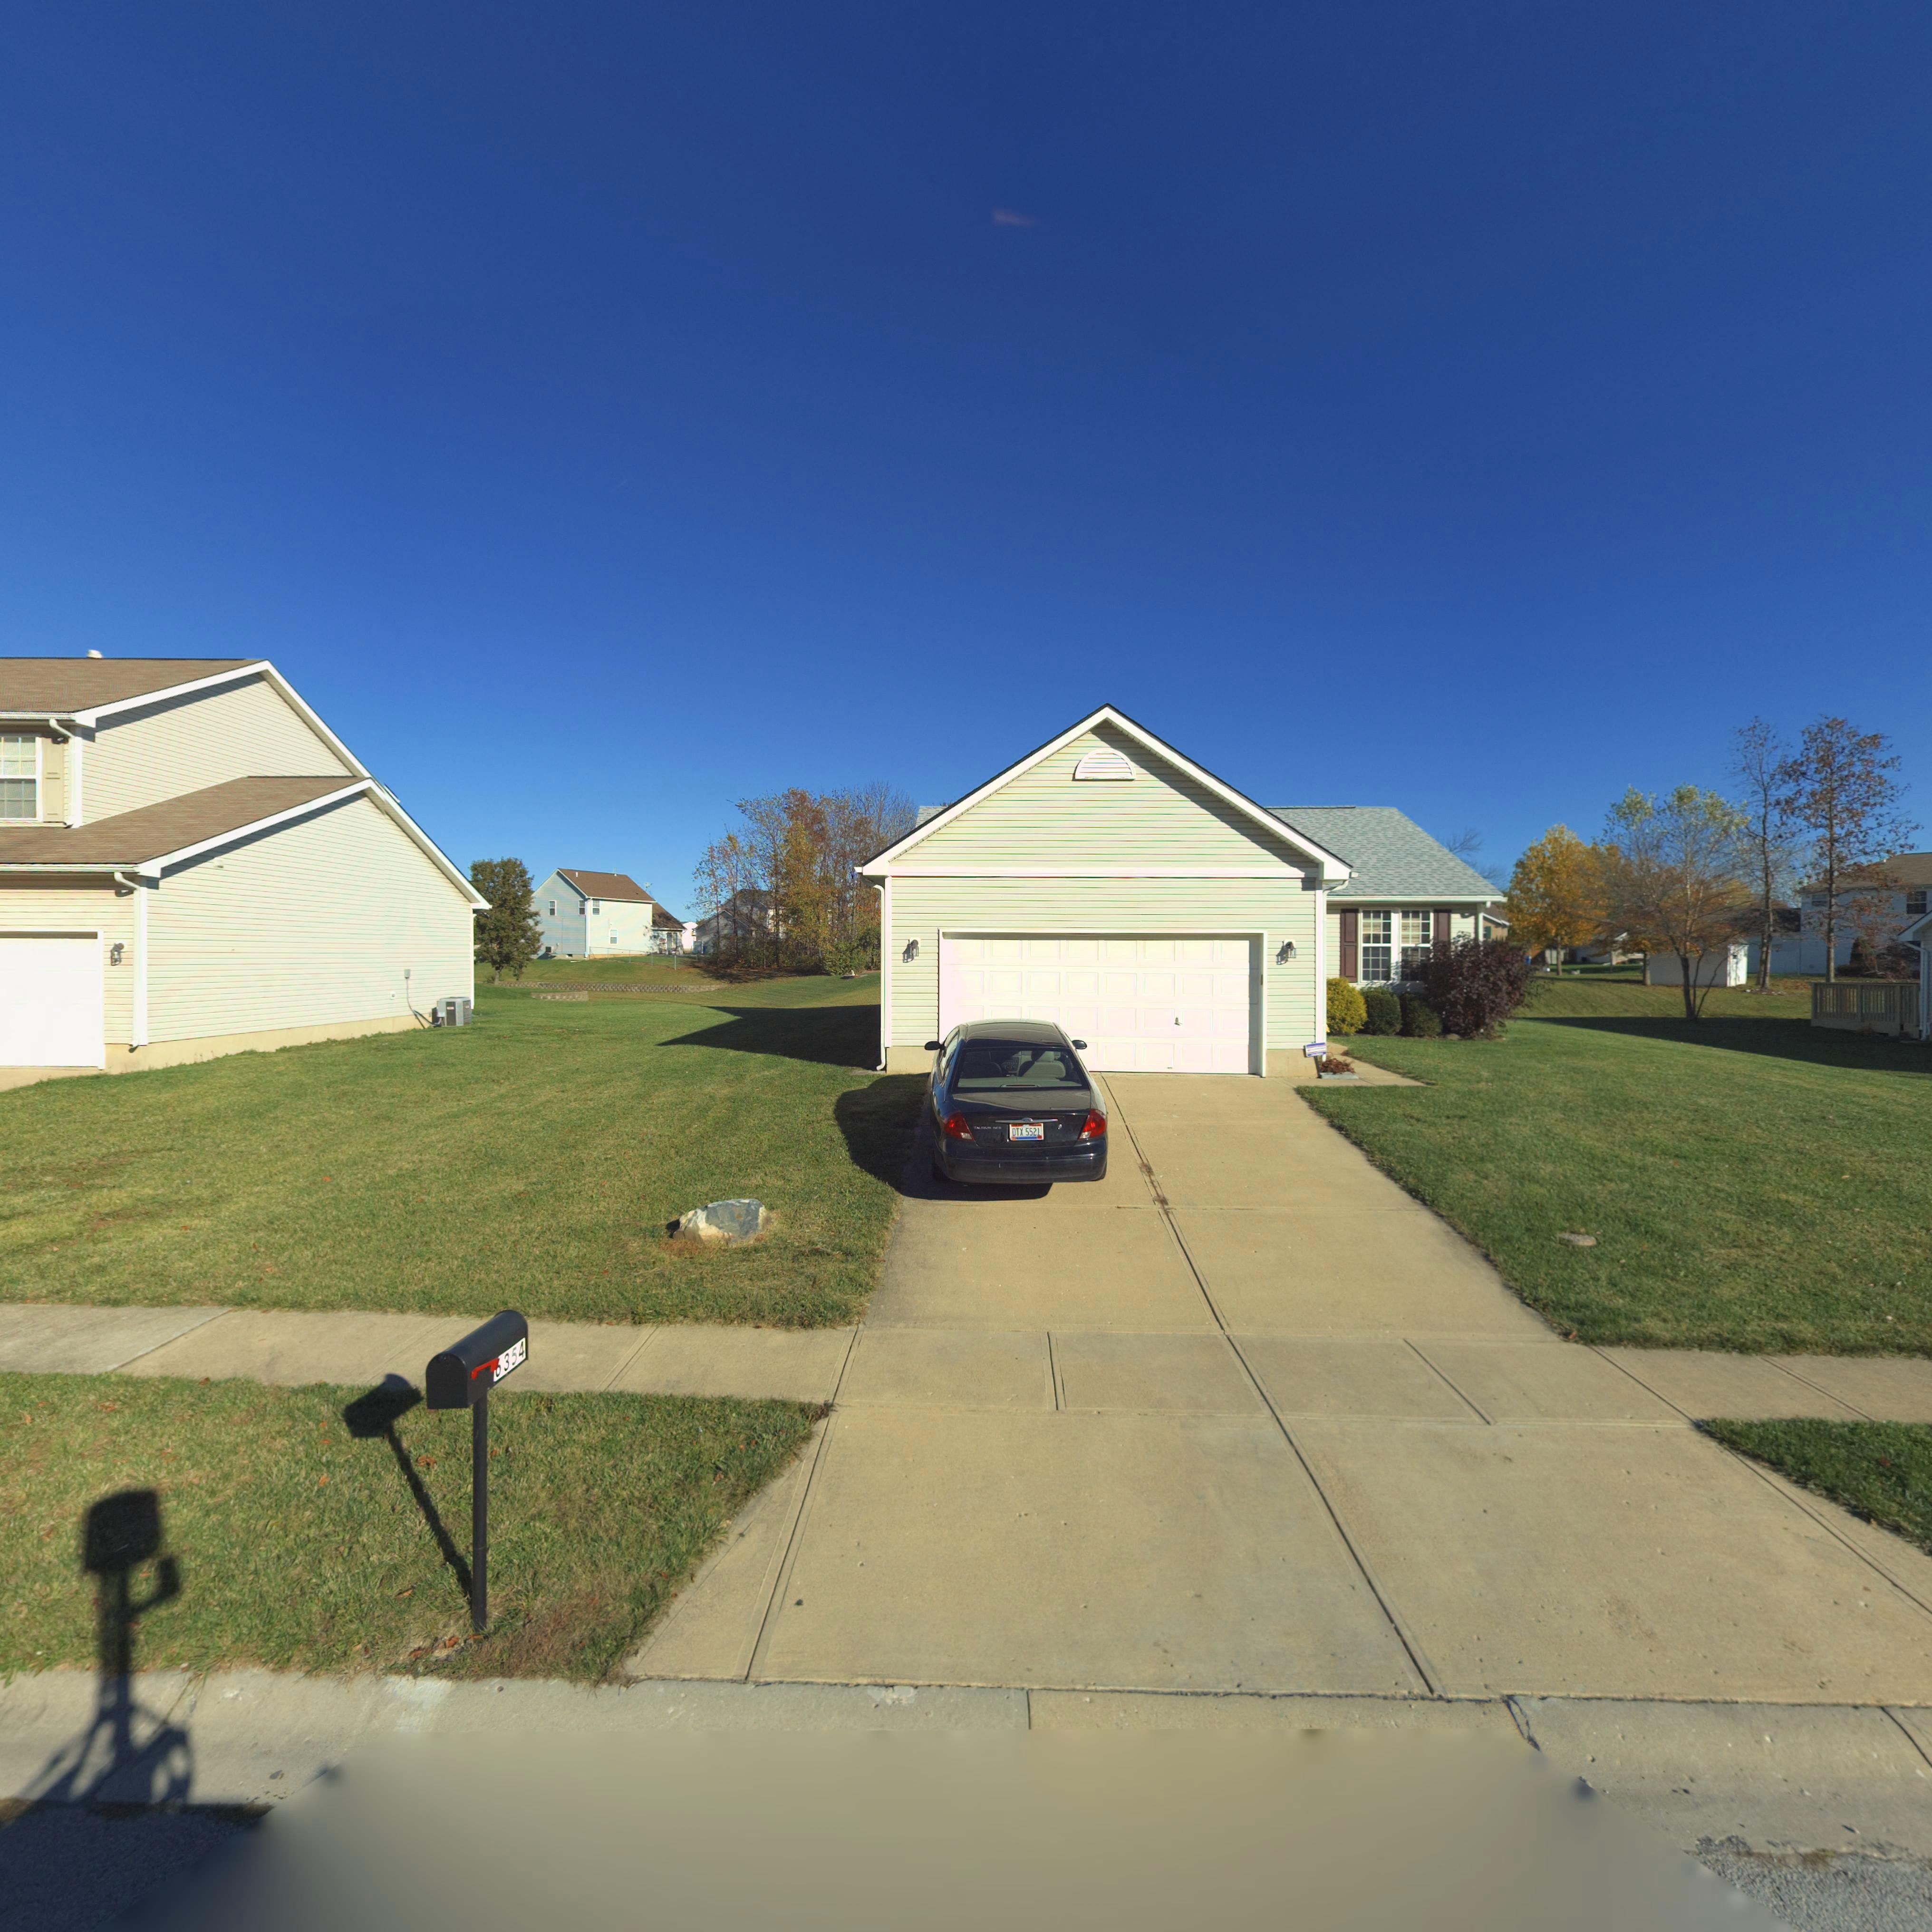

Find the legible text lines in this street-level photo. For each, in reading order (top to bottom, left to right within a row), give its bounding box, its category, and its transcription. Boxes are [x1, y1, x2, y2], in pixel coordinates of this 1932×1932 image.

[1011, 1127, 1041, 1138] None: DTX 5521
[495, 1339, 525, 1378] StreetNumber: 6354